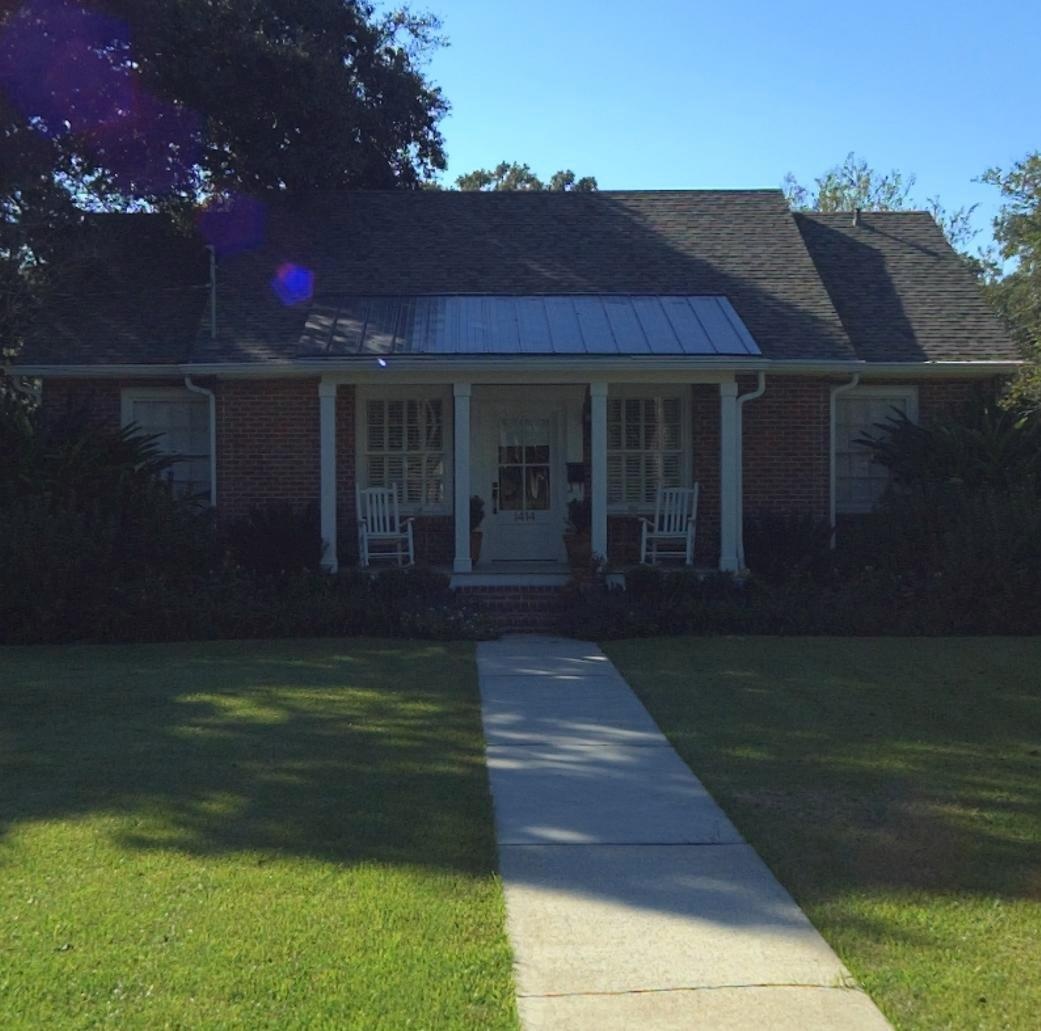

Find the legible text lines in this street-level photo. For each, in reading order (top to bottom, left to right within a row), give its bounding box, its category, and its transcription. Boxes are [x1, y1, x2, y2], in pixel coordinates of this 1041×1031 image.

[512, 510, 537, 523] StreetNumber: 1414